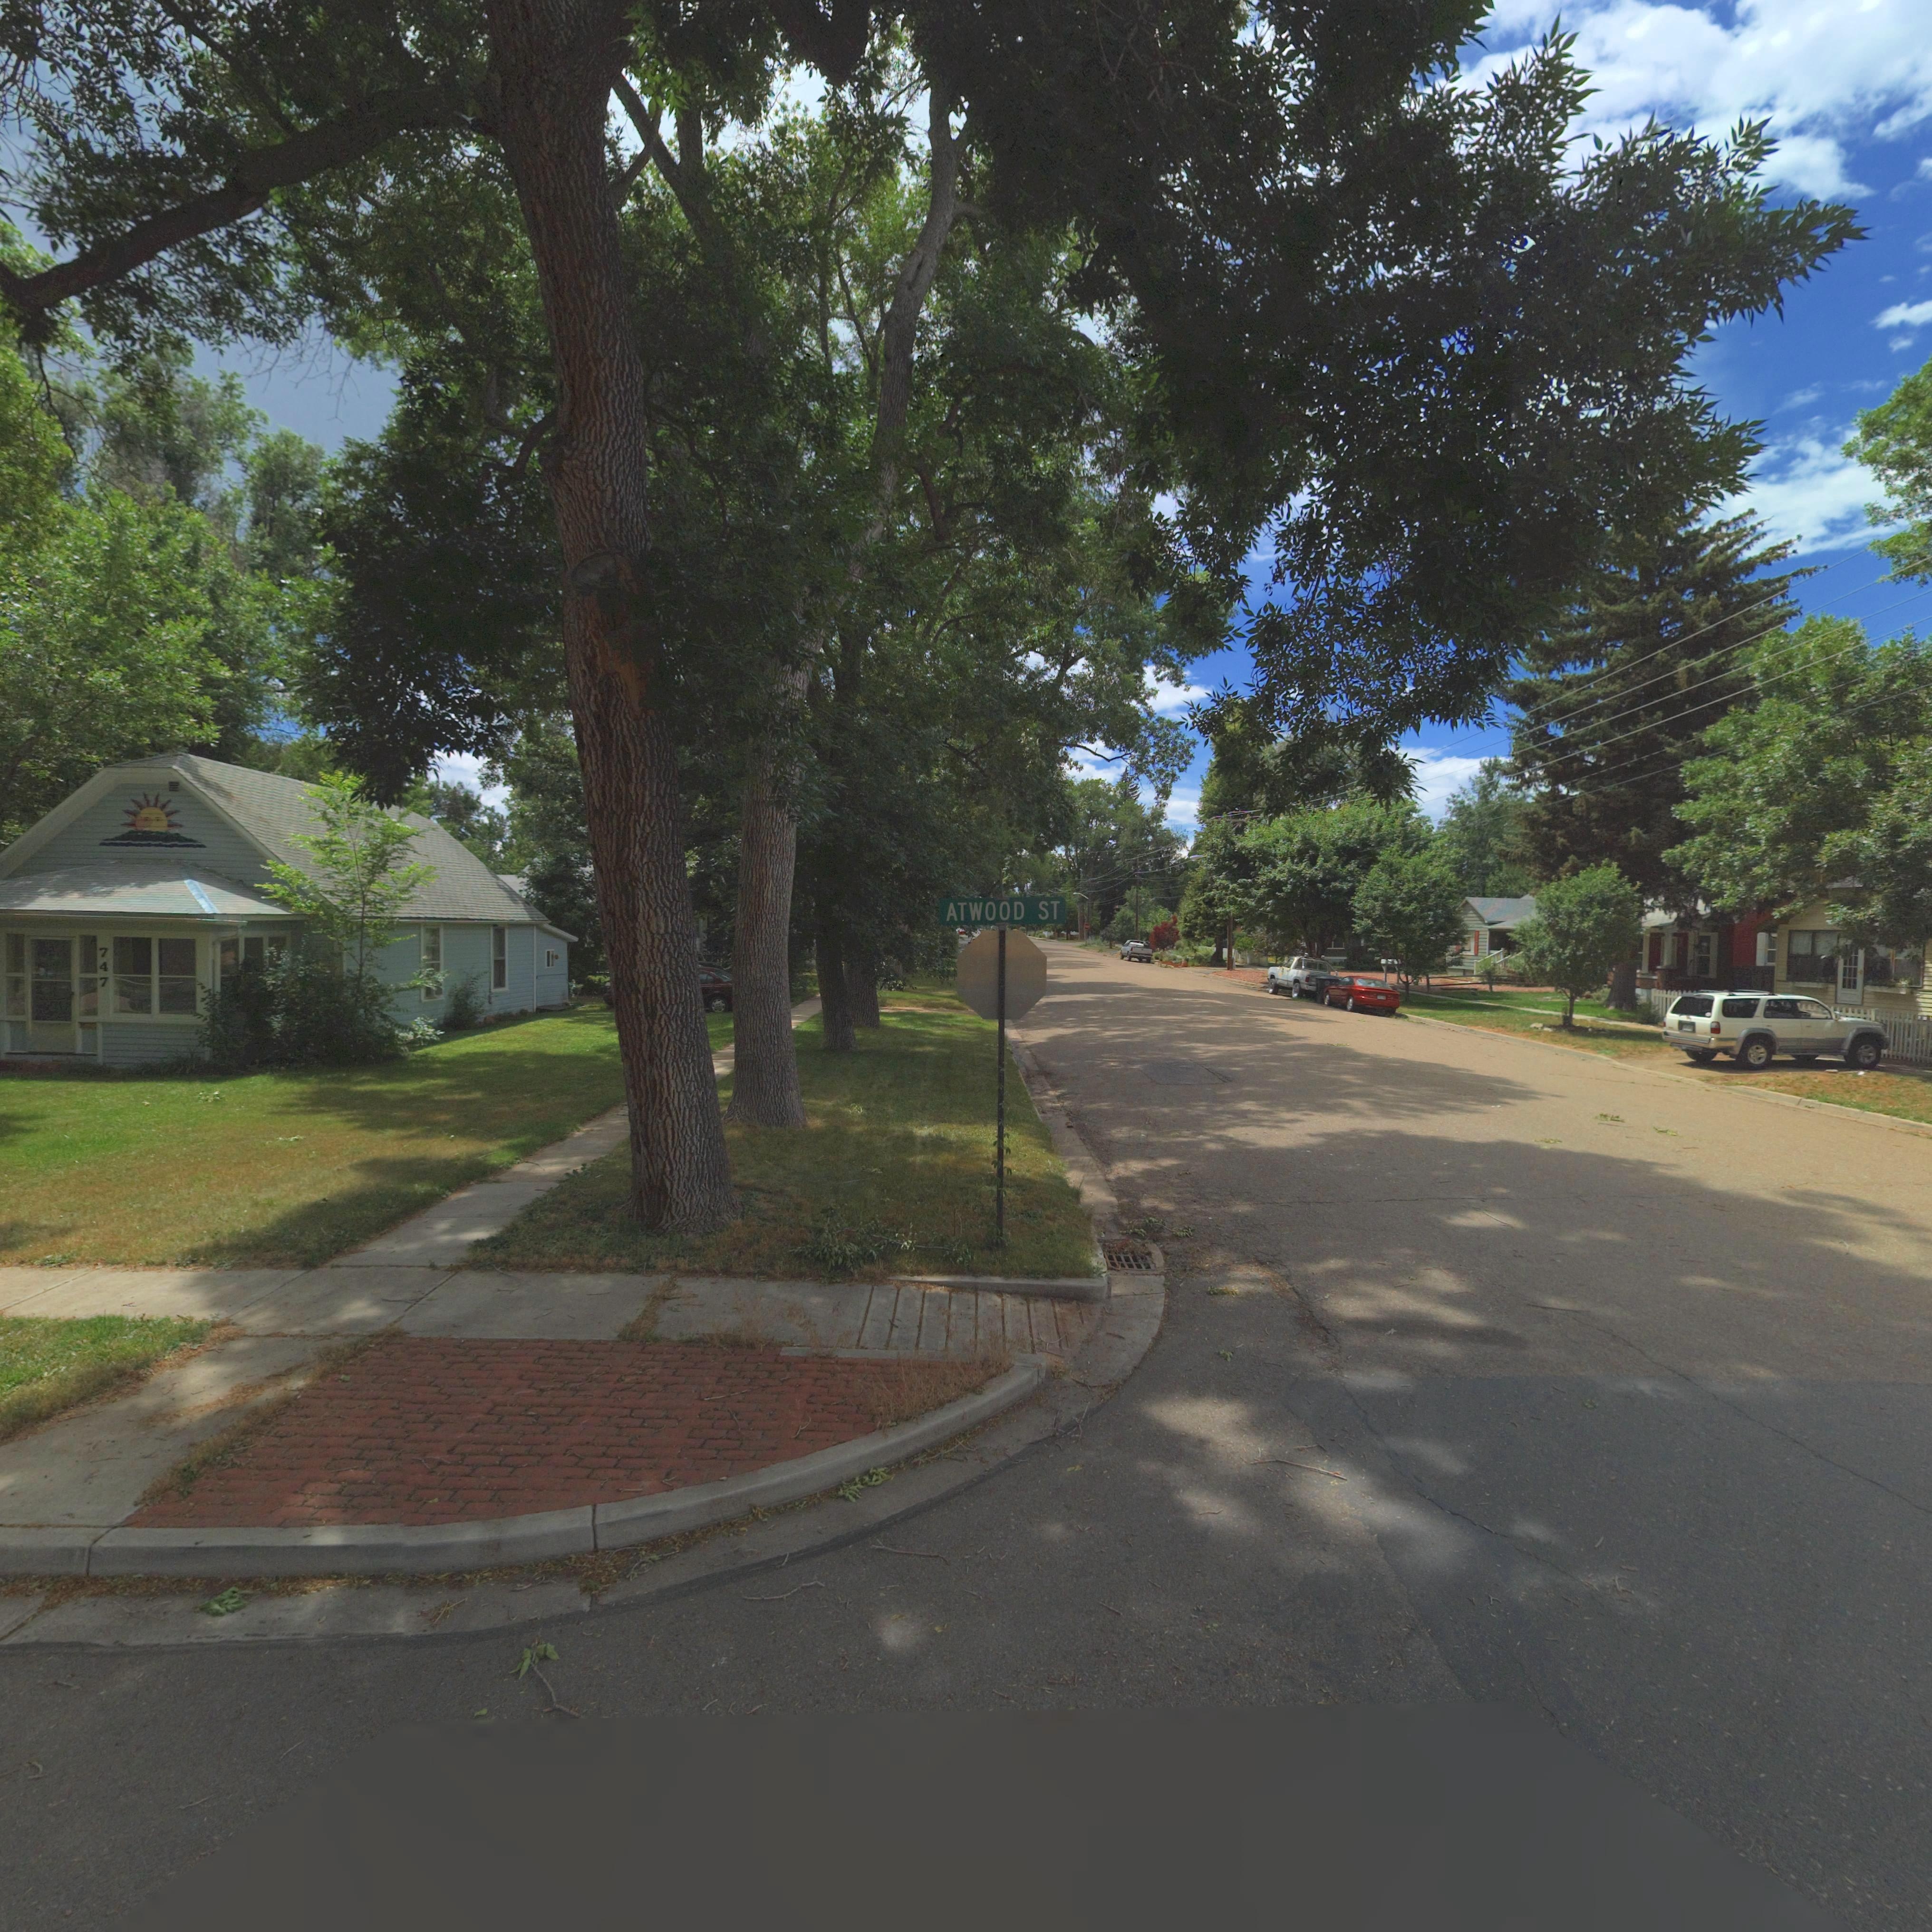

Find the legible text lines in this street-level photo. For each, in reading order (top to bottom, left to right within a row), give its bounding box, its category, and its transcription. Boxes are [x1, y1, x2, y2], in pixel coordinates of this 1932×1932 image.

[946, 901, 1060, 920] StreetName: ATWOOD ST
[98, 947, 109, 987] StreetNumber: 747